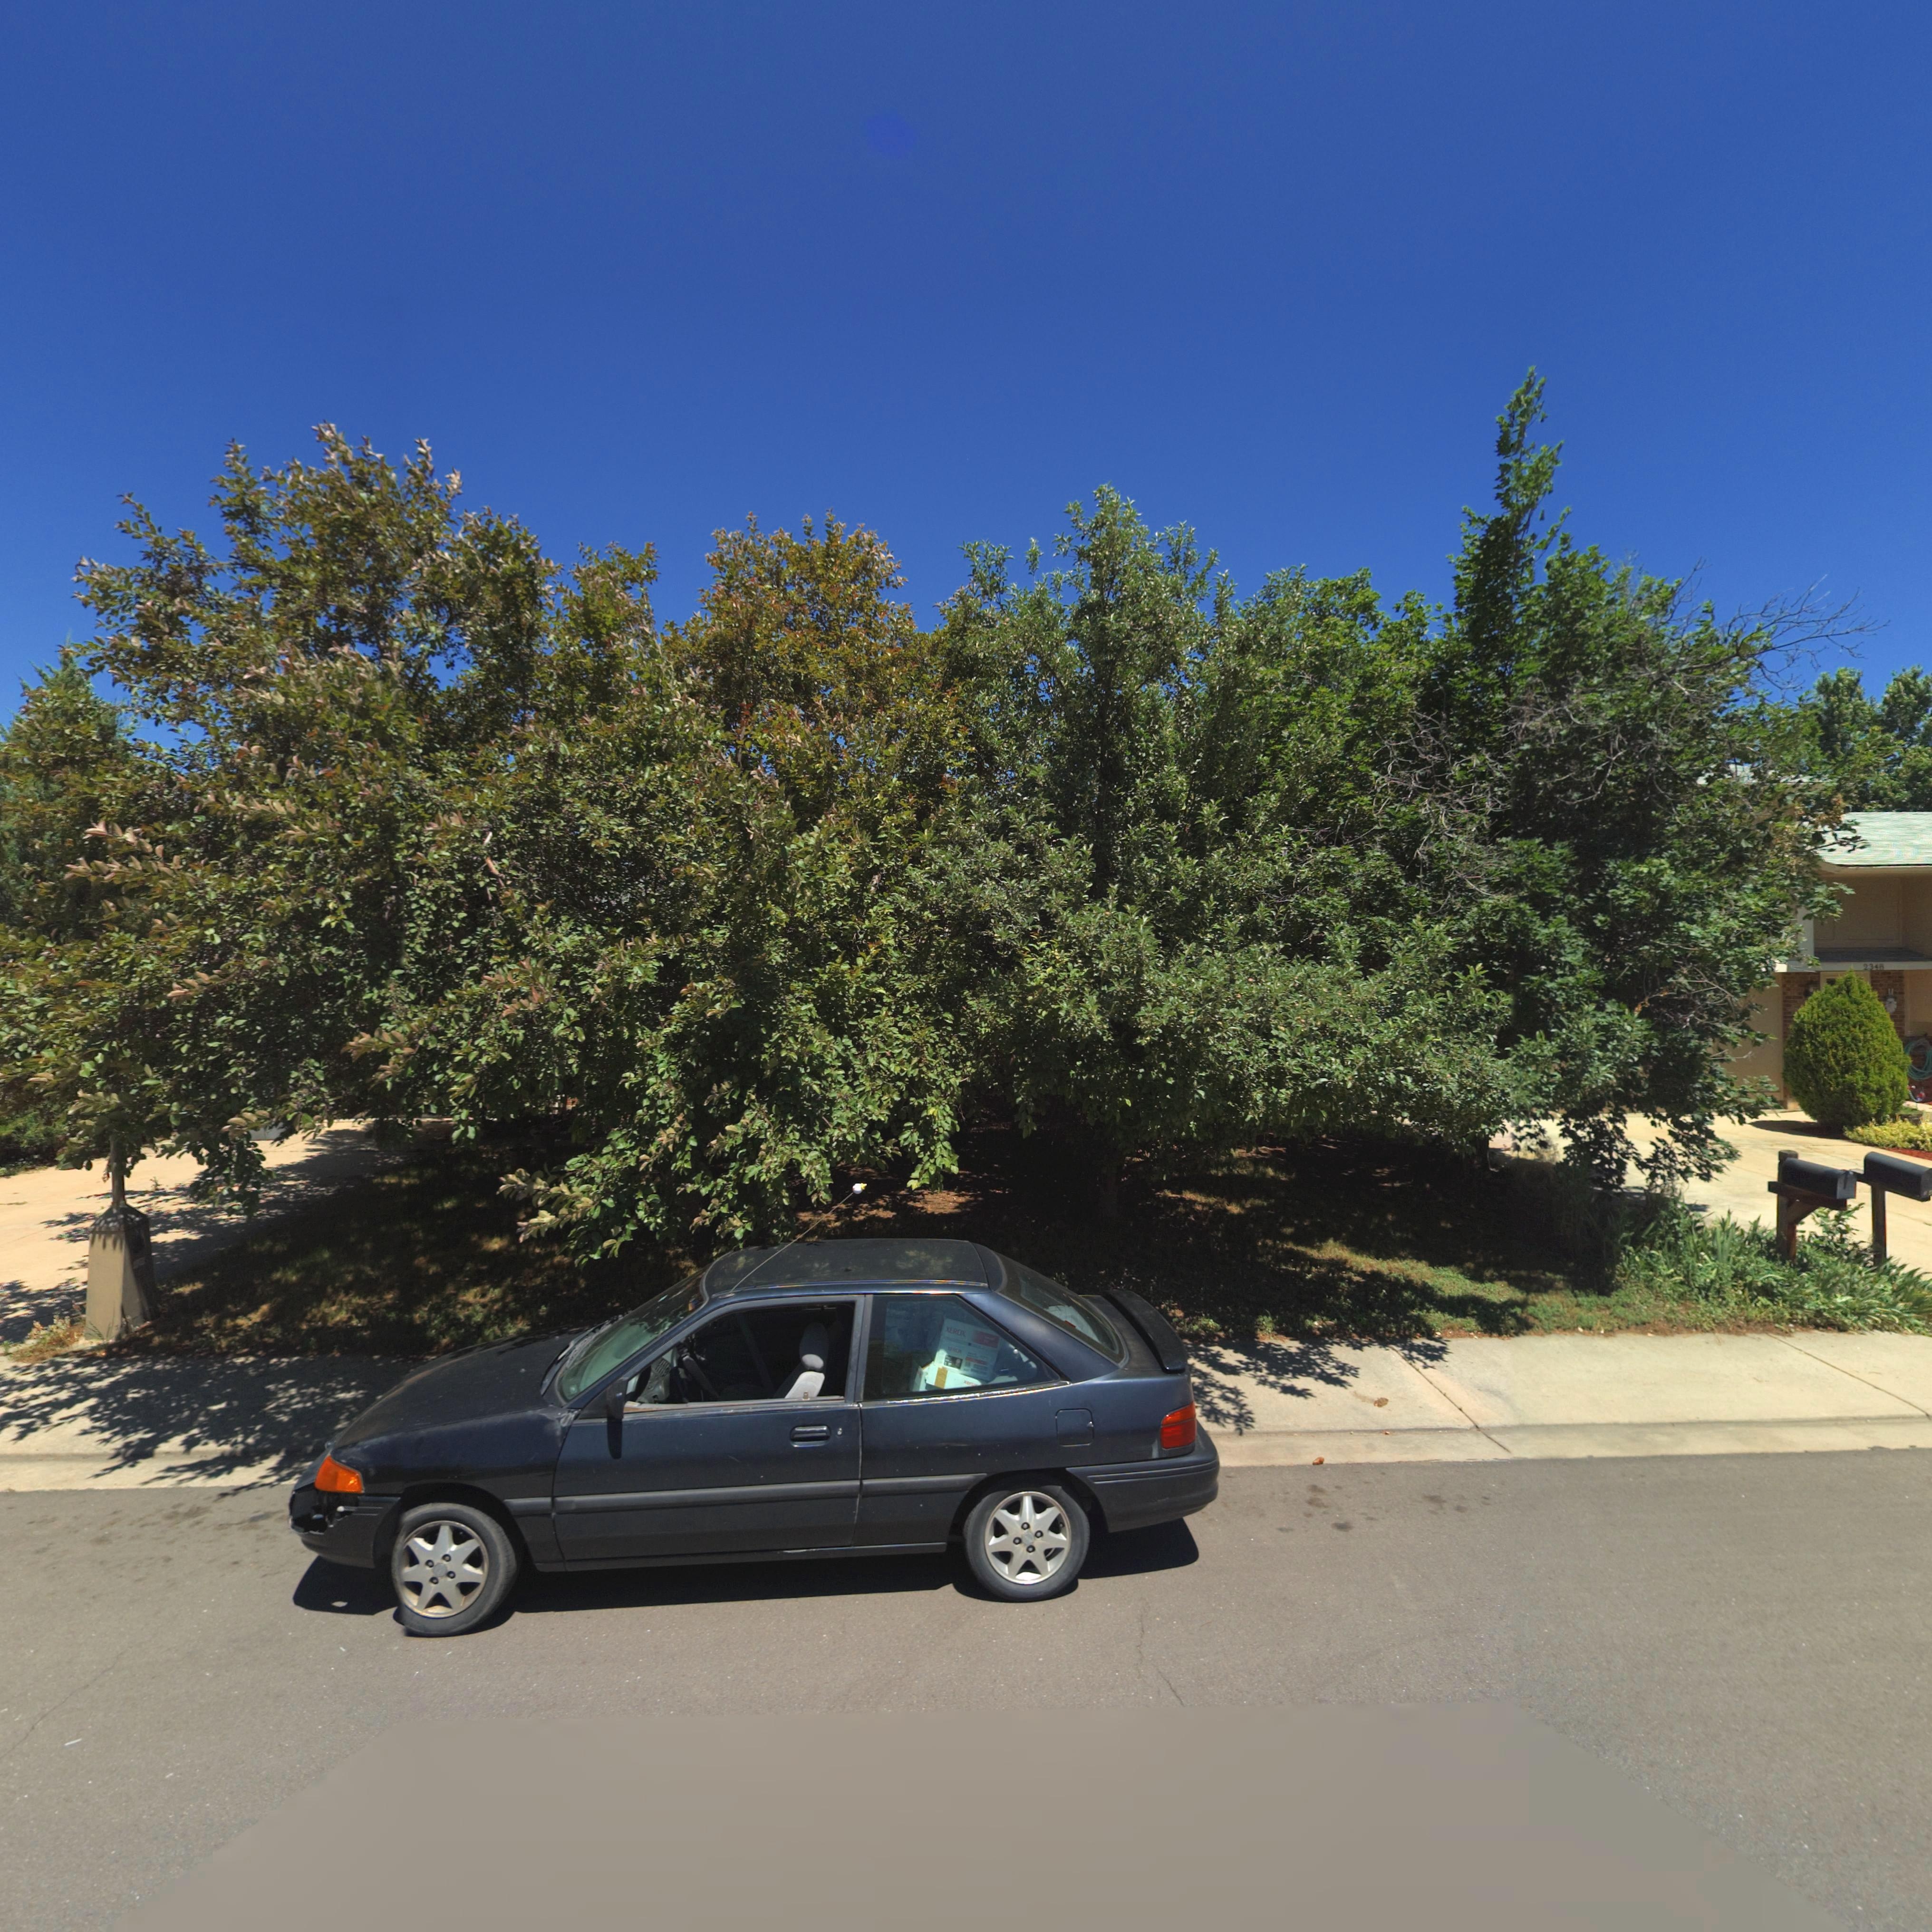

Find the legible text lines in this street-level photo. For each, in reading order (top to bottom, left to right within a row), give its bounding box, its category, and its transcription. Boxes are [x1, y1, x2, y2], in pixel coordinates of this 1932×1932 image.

[1863, 963, 1884, 970] StreetNumber: 2348